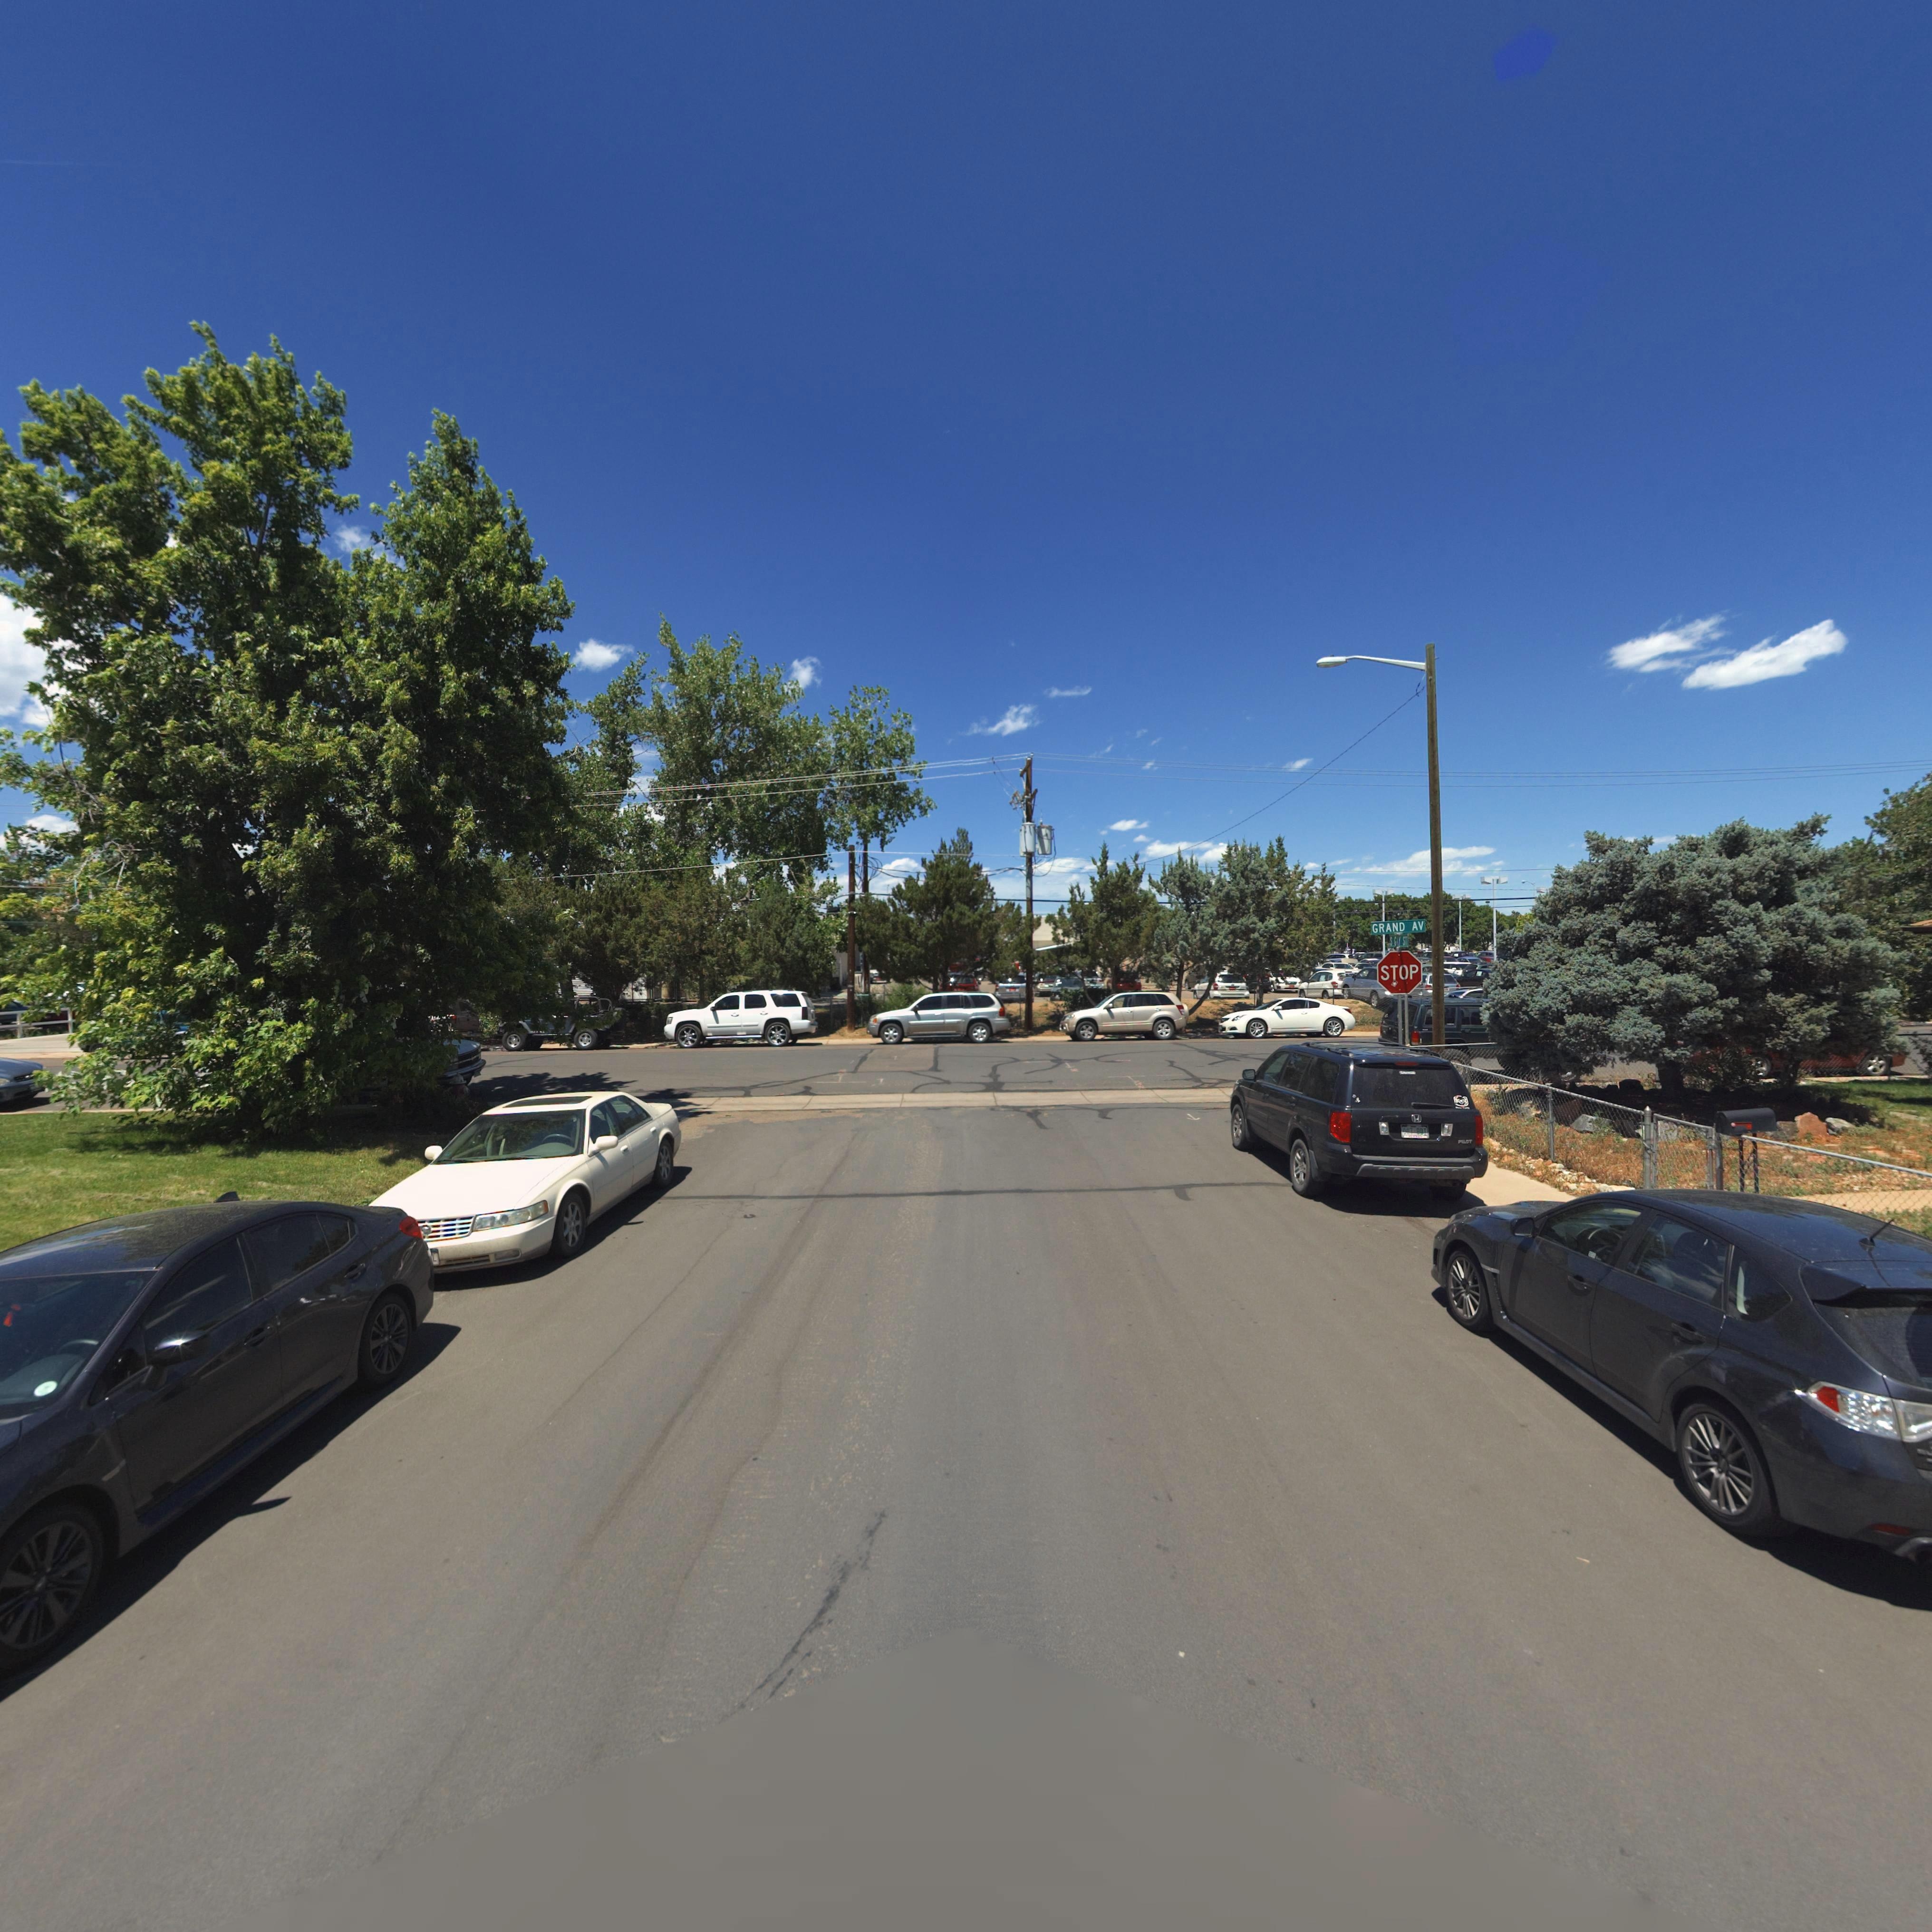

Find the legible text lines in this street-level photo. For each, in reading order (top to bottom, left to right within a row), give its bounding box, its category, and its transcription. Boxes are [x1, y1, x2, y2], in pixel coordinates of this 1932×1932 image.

[1372, 920, 1424, 934] StreetName: GRAND AV
[1389, 936, 1408, 946] StreetName: S GAY ST